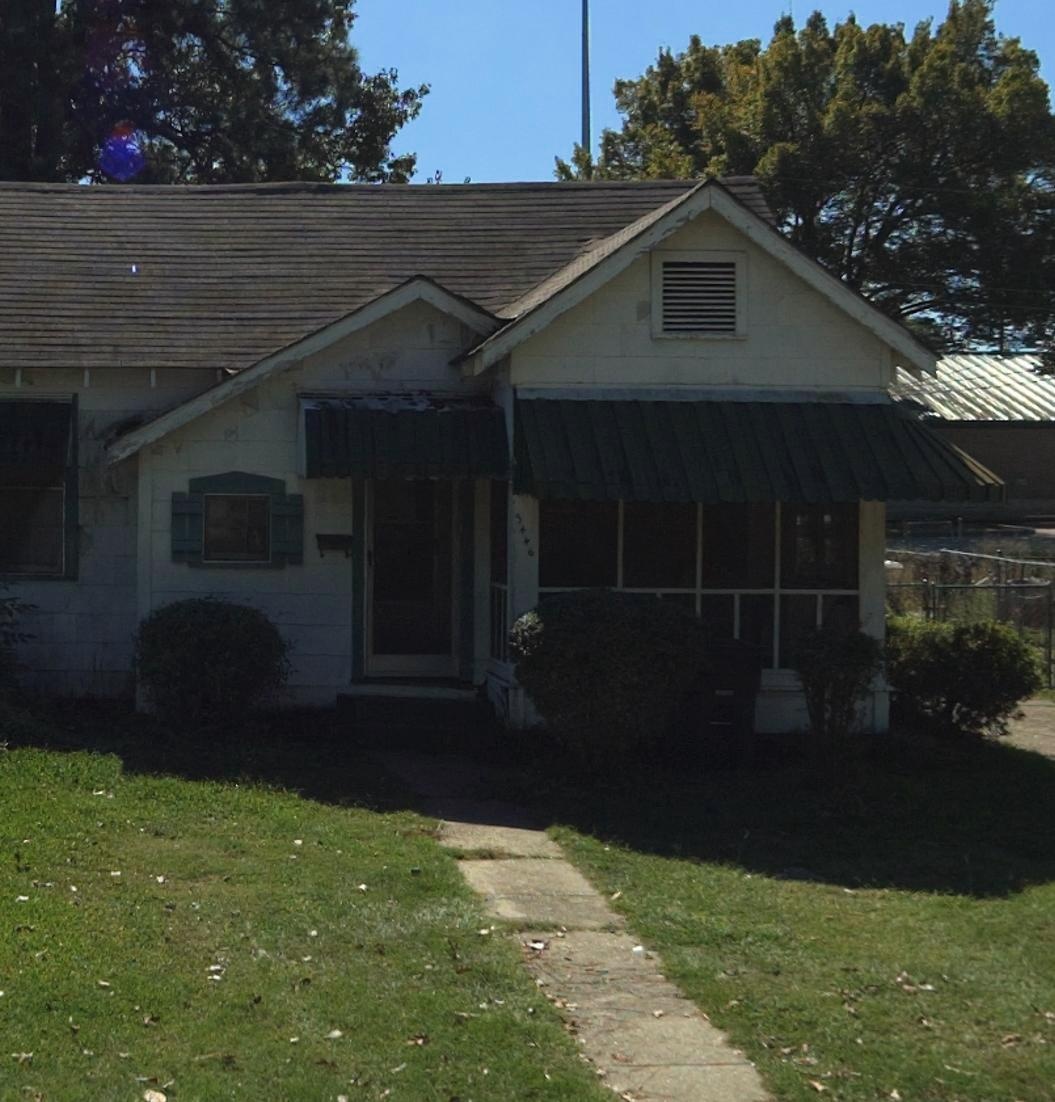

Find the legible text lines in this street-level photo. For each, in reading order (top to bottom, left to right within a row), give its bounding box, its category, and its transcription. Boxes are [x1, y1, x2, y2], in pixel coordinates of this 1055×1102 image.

[512, 510, 537, 559] StreetNumber: 3446